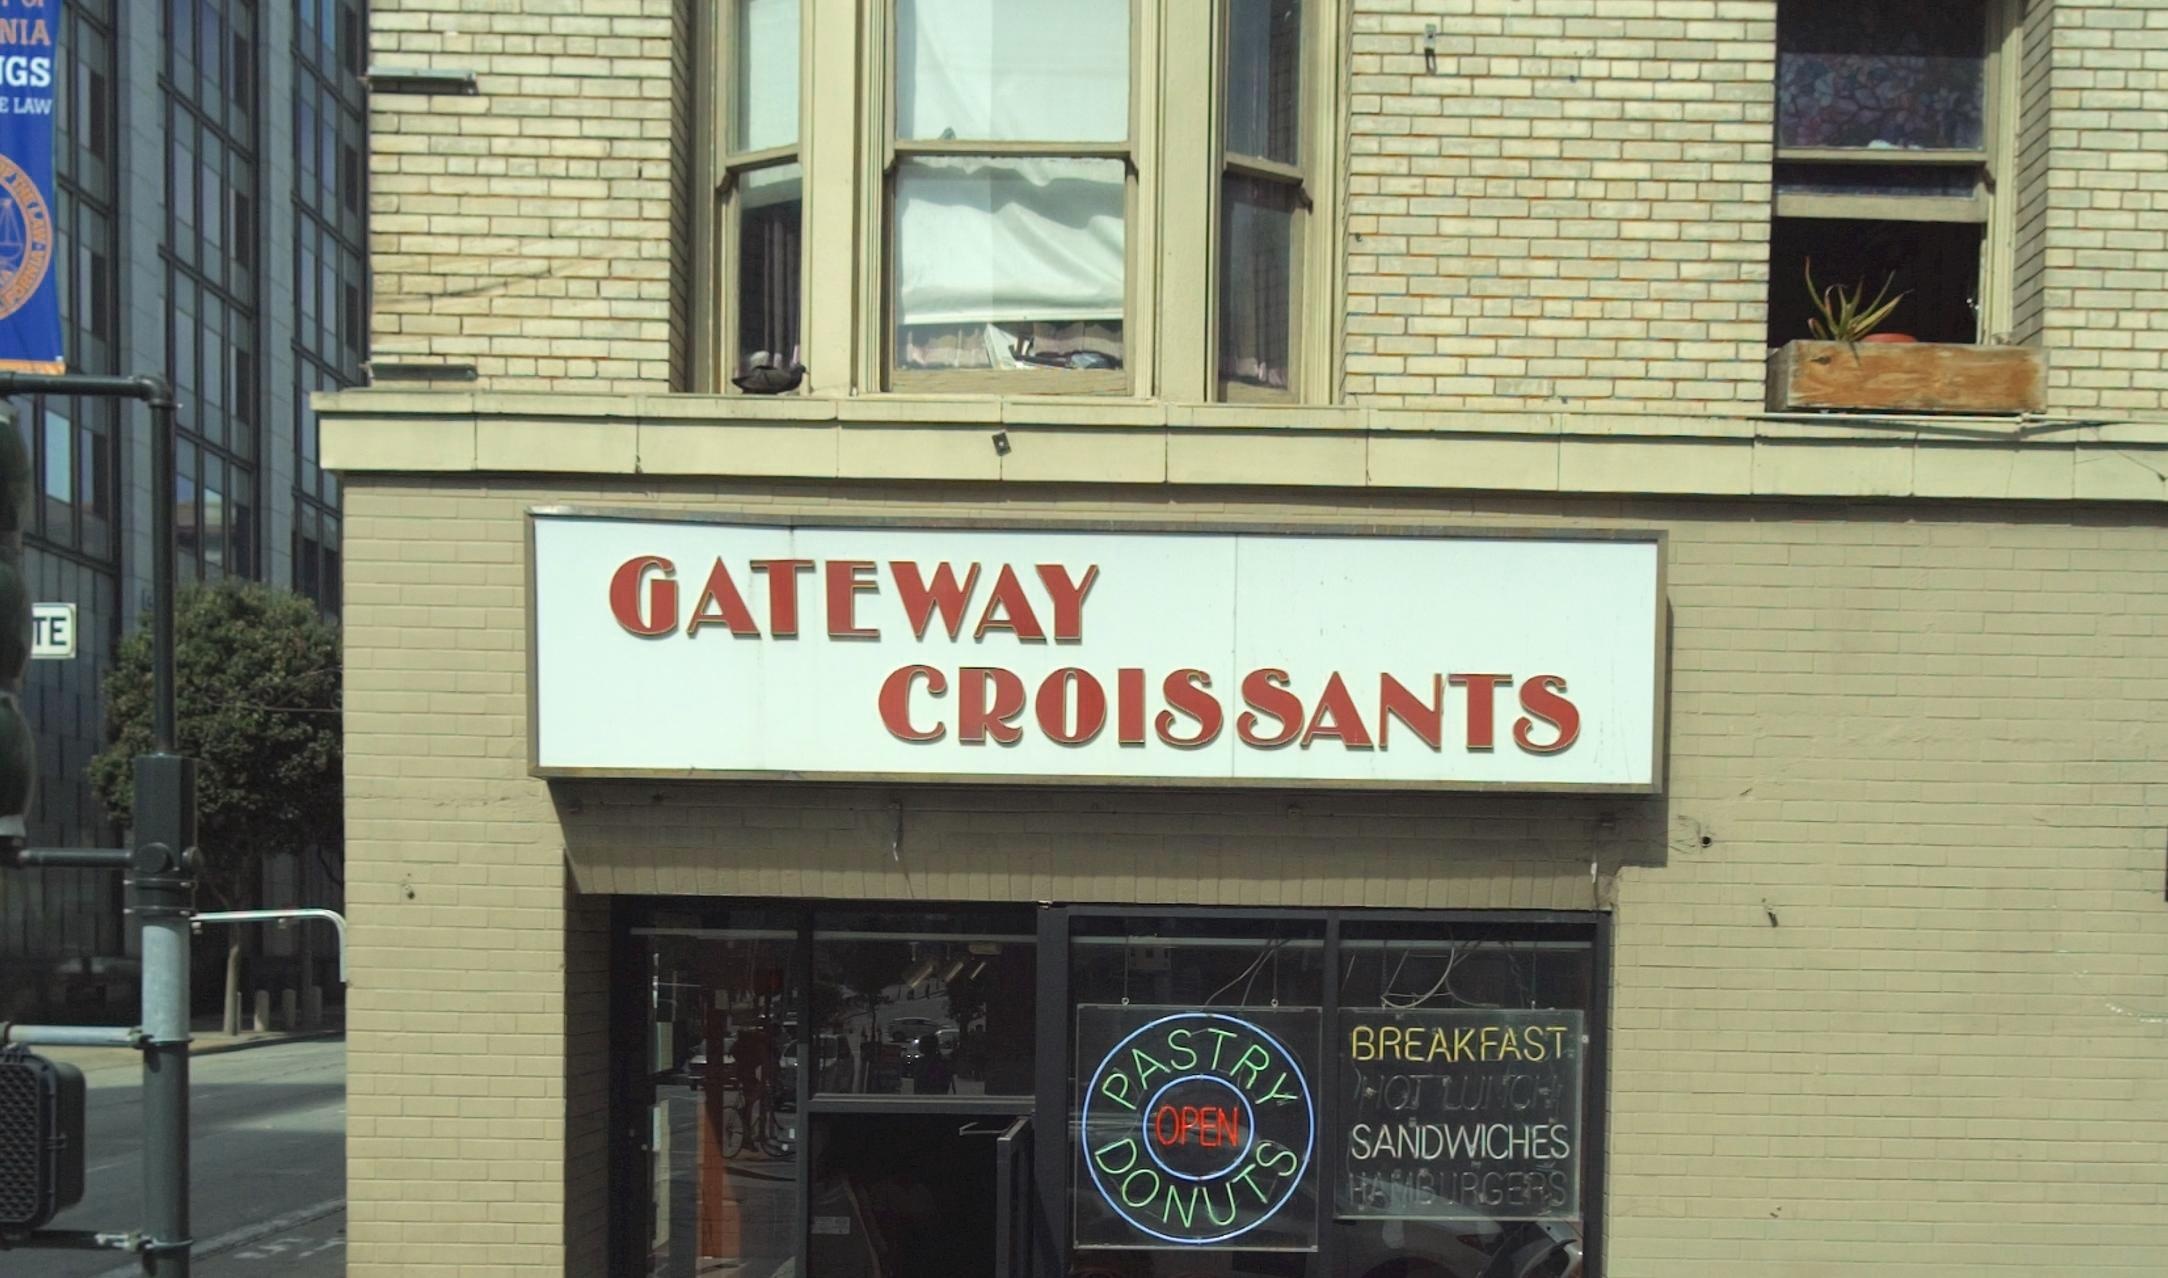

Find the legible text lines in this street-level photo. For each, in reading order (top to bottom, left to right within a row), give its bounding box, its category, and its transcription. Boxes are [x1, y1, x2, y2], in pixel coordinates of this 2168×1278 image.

[0, 15, 57, 51] None: NIA
[0, 53, 54, 91] None: GS
[9, 93, 57, 120] None: LAW
[5, 171, 49, 248] None: THE LAW
[4, 248, 48, 308] None: FORNIA
[608, 552, 1104, 643] BusinessName: GATEWAY
[30, 613, 72, 649] StreetName: TE
[873, 660, 1583, 757] None: CROISSANTS
[1351, 1021, 1575, 1066] None: BREAKFAST
[1096, 1023, 1304, 1114] None: PASTRY
[1352, 1070, 1563, 1118] None: HOT LUNCH
[1154, 1101, 1241, 1151] None: OPEN
[1347, 1120, 1573, 1164] None: SANDWICHES
[1088, 1133, 1305, 1233] None: DONUTS
[1345, 1167, 1572, 1211] None: HAMBURGERS